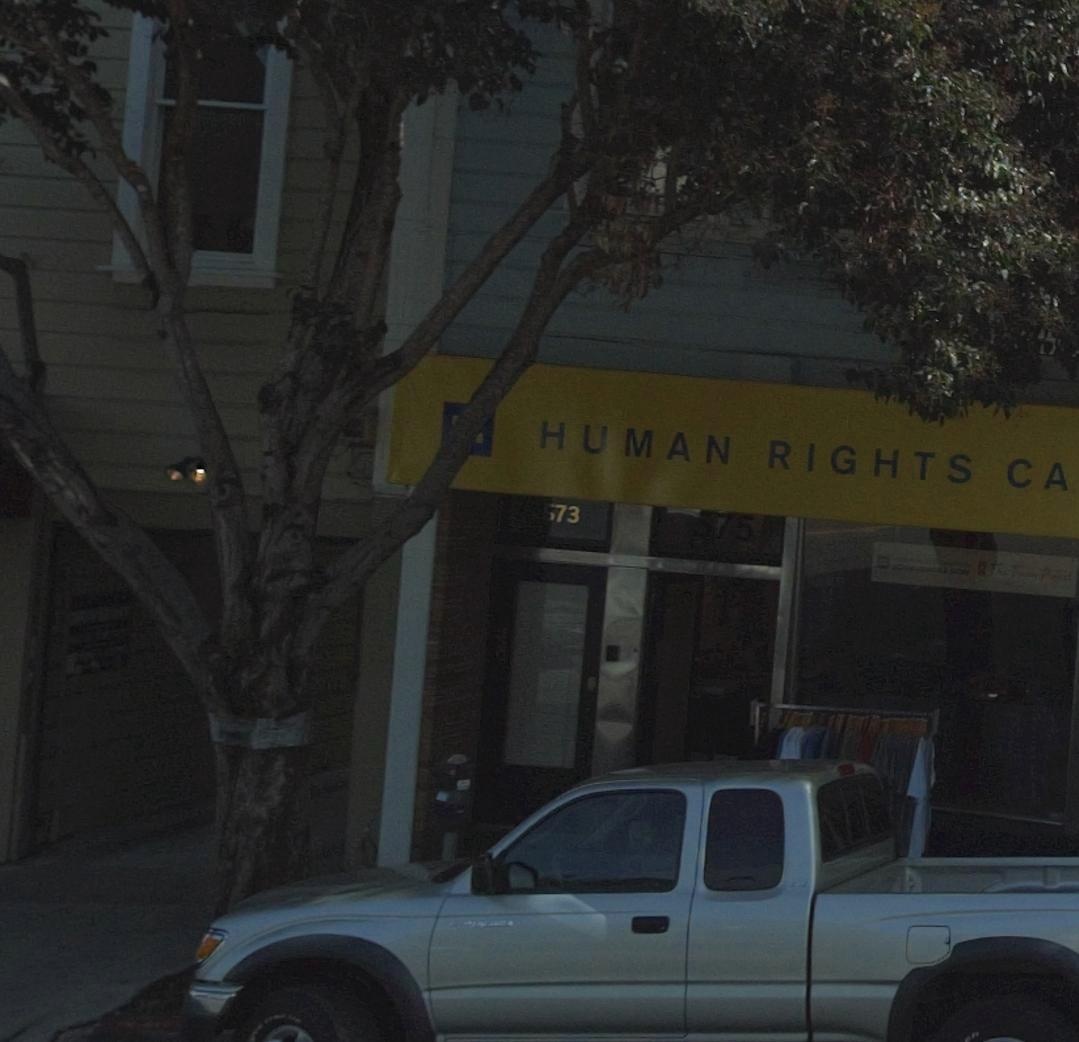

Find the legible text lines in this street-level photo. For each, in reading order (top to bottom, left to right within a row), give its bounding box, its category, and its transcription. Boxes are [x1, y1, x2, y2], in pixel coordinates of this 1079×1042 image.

[536, 416, 1077, 496] BusinessName: HUMAN RIGHTS CA
[543, 501, 581, 525] StreetNumber: 573
[690, 508, 757, 544] StreetNumber: 575